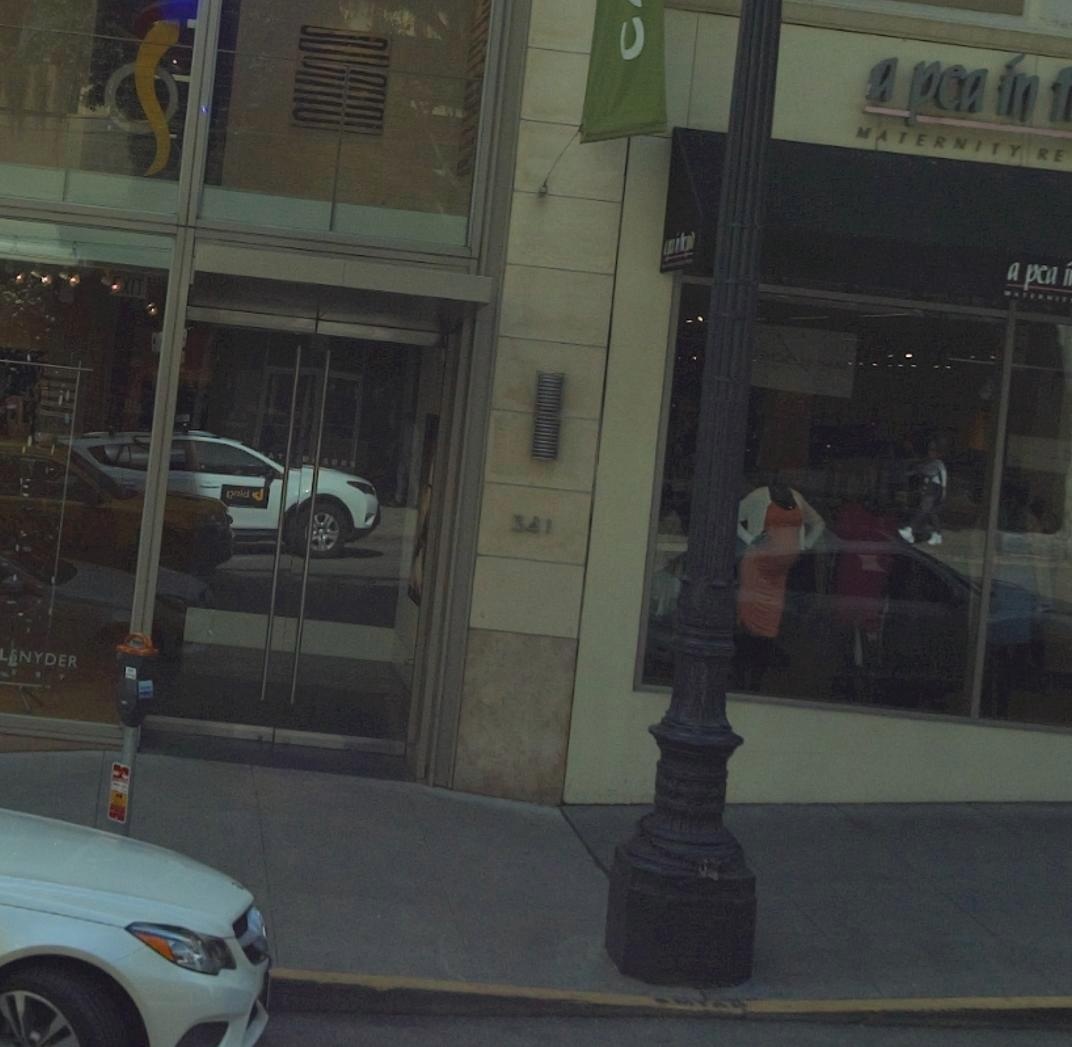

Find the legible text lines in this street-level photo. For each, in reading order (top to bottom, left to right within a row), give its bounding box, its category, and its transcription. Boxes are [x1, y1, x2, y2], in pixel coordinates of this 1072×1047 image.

[614, 8, 649, 64] None: C
[857, 46, 1047, 133] BusinessName: a pea in
[850, 121, 1069, 169] BusinessName: MATERNITY RE
[1001, 256, 1064, 298] BusinessName: a pea
[224, 486, 237, 504] None: p
[241, 486, 252, 504] None: d
[508, 510, 558, 540] StreetNumber: 341
[0, 642, 82, 673] BusinessName: L*NYDER